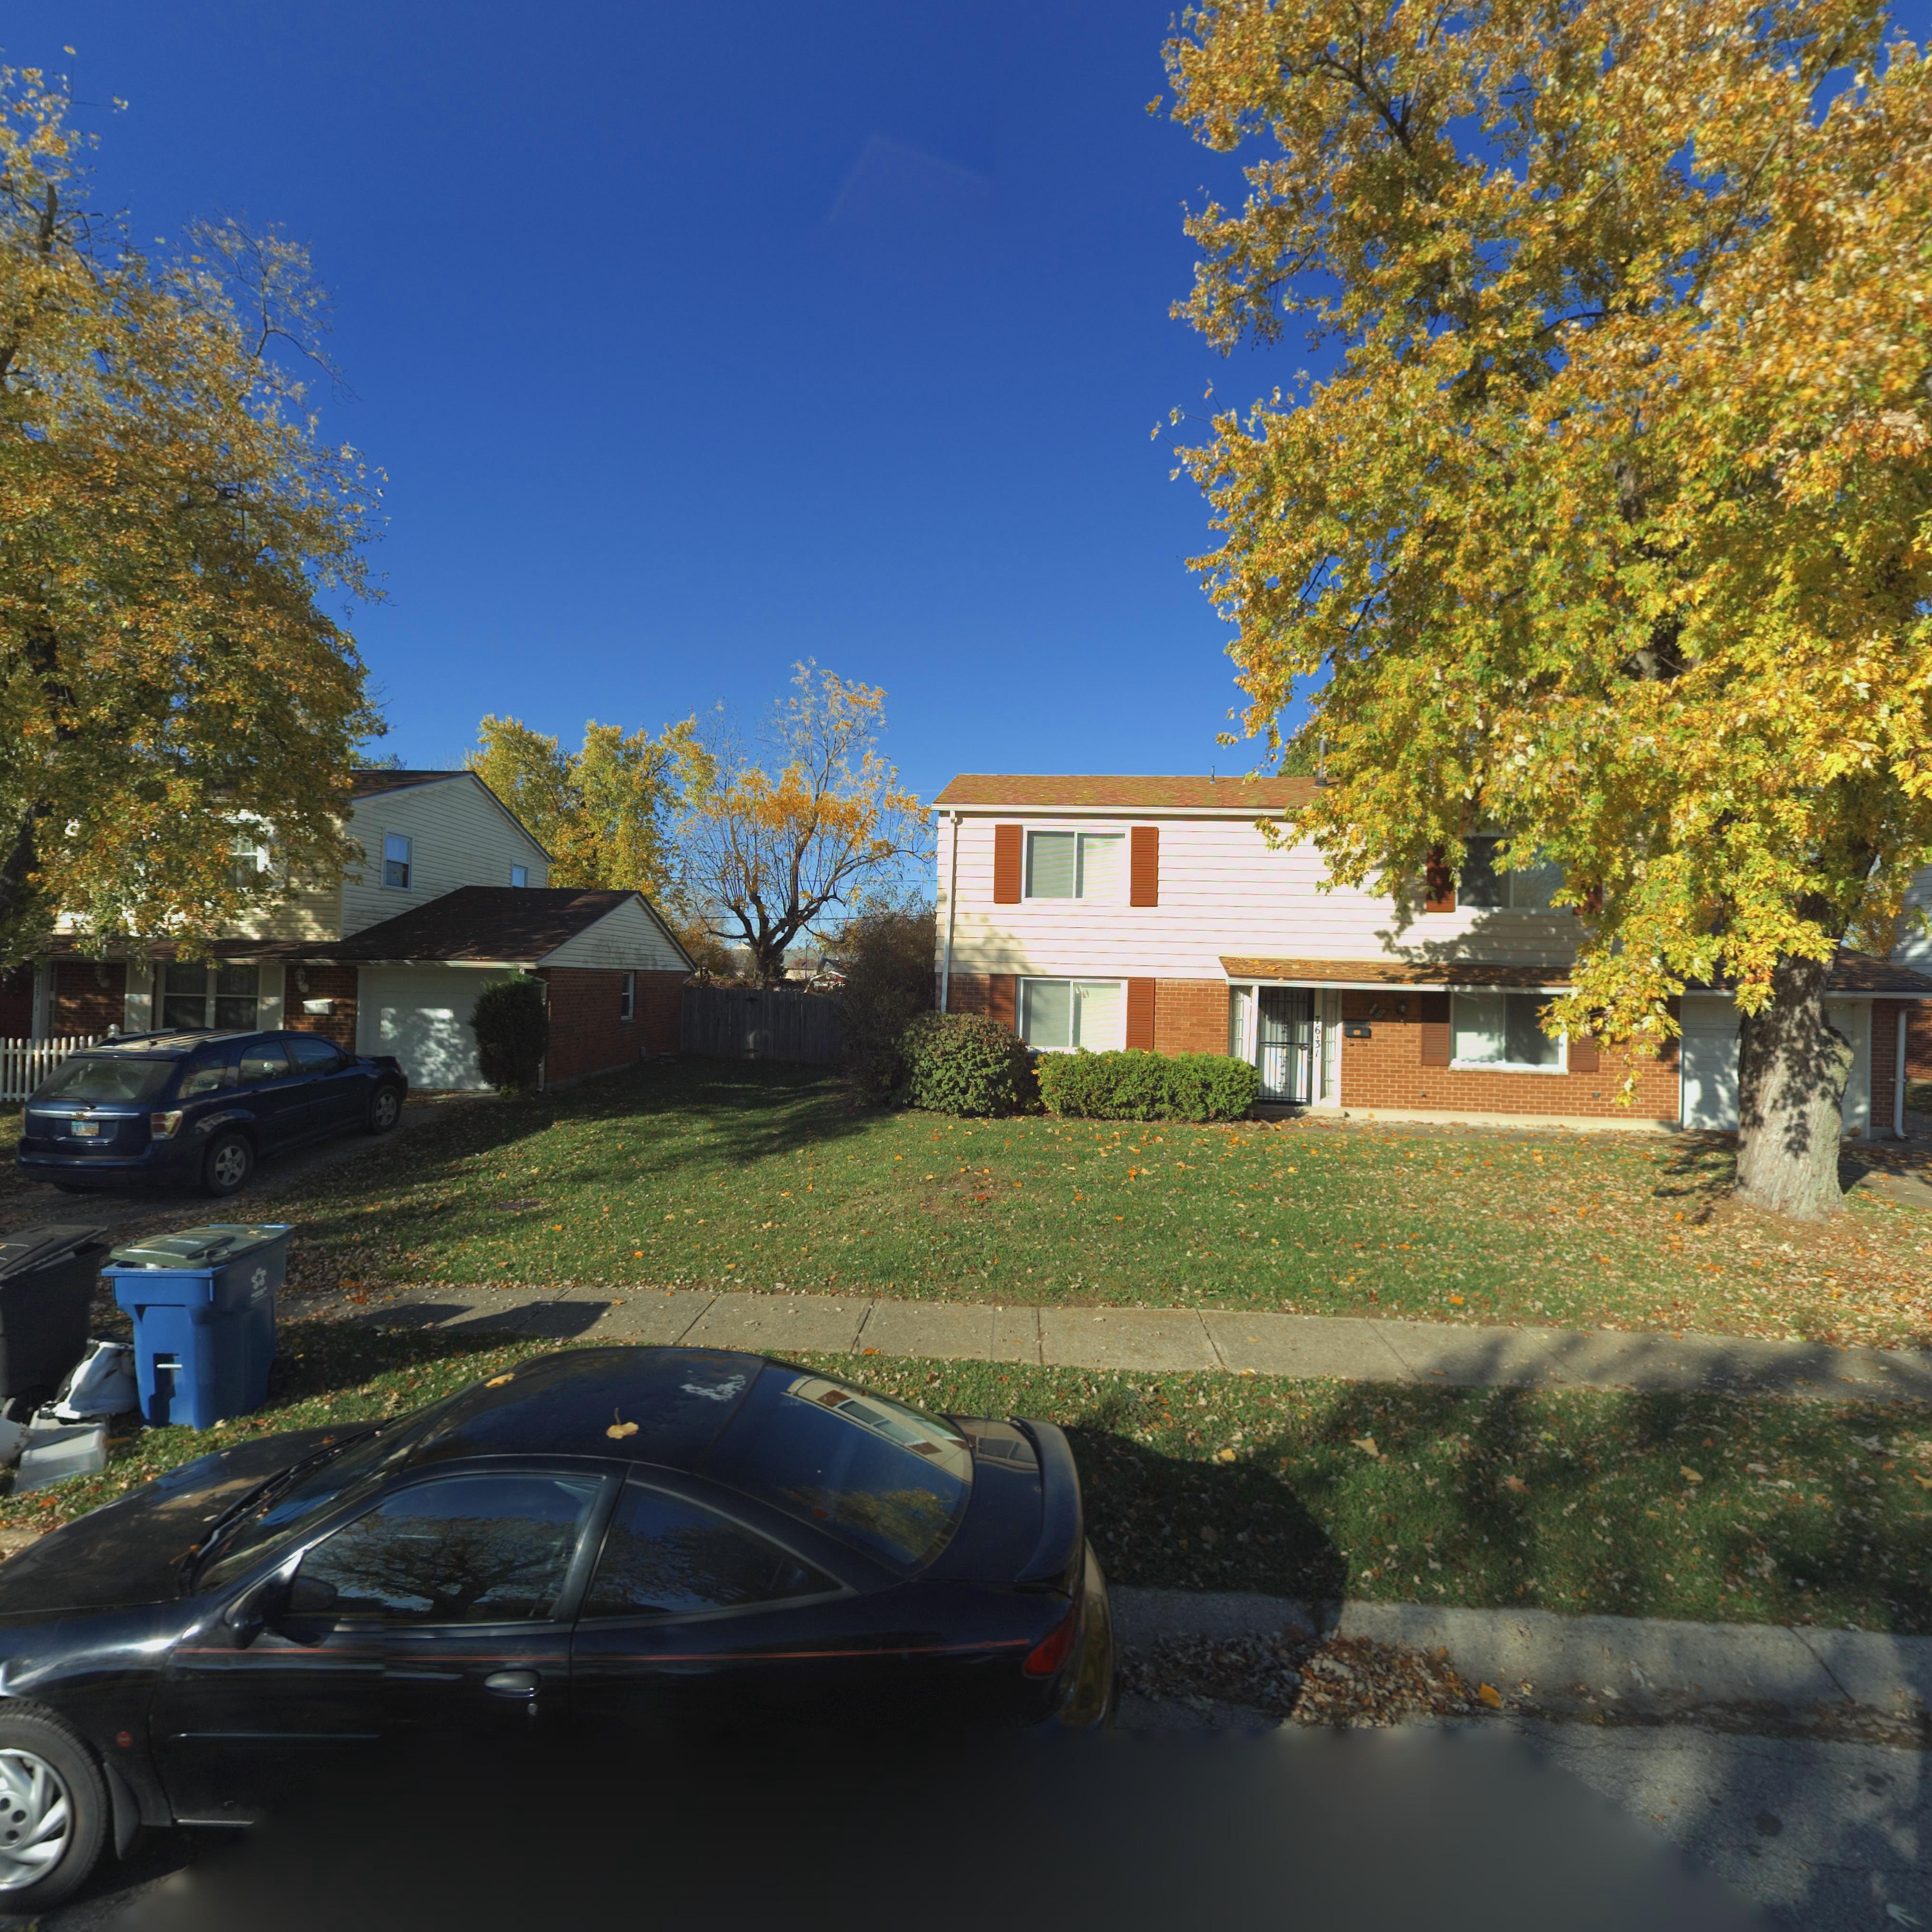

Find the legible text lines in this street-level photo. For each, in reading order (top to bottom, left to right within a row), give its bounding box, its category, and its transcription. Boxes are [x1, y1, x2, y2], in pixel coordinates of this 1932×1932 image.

[1314, 1014, 1322, 1058] StreetNumber: 7631